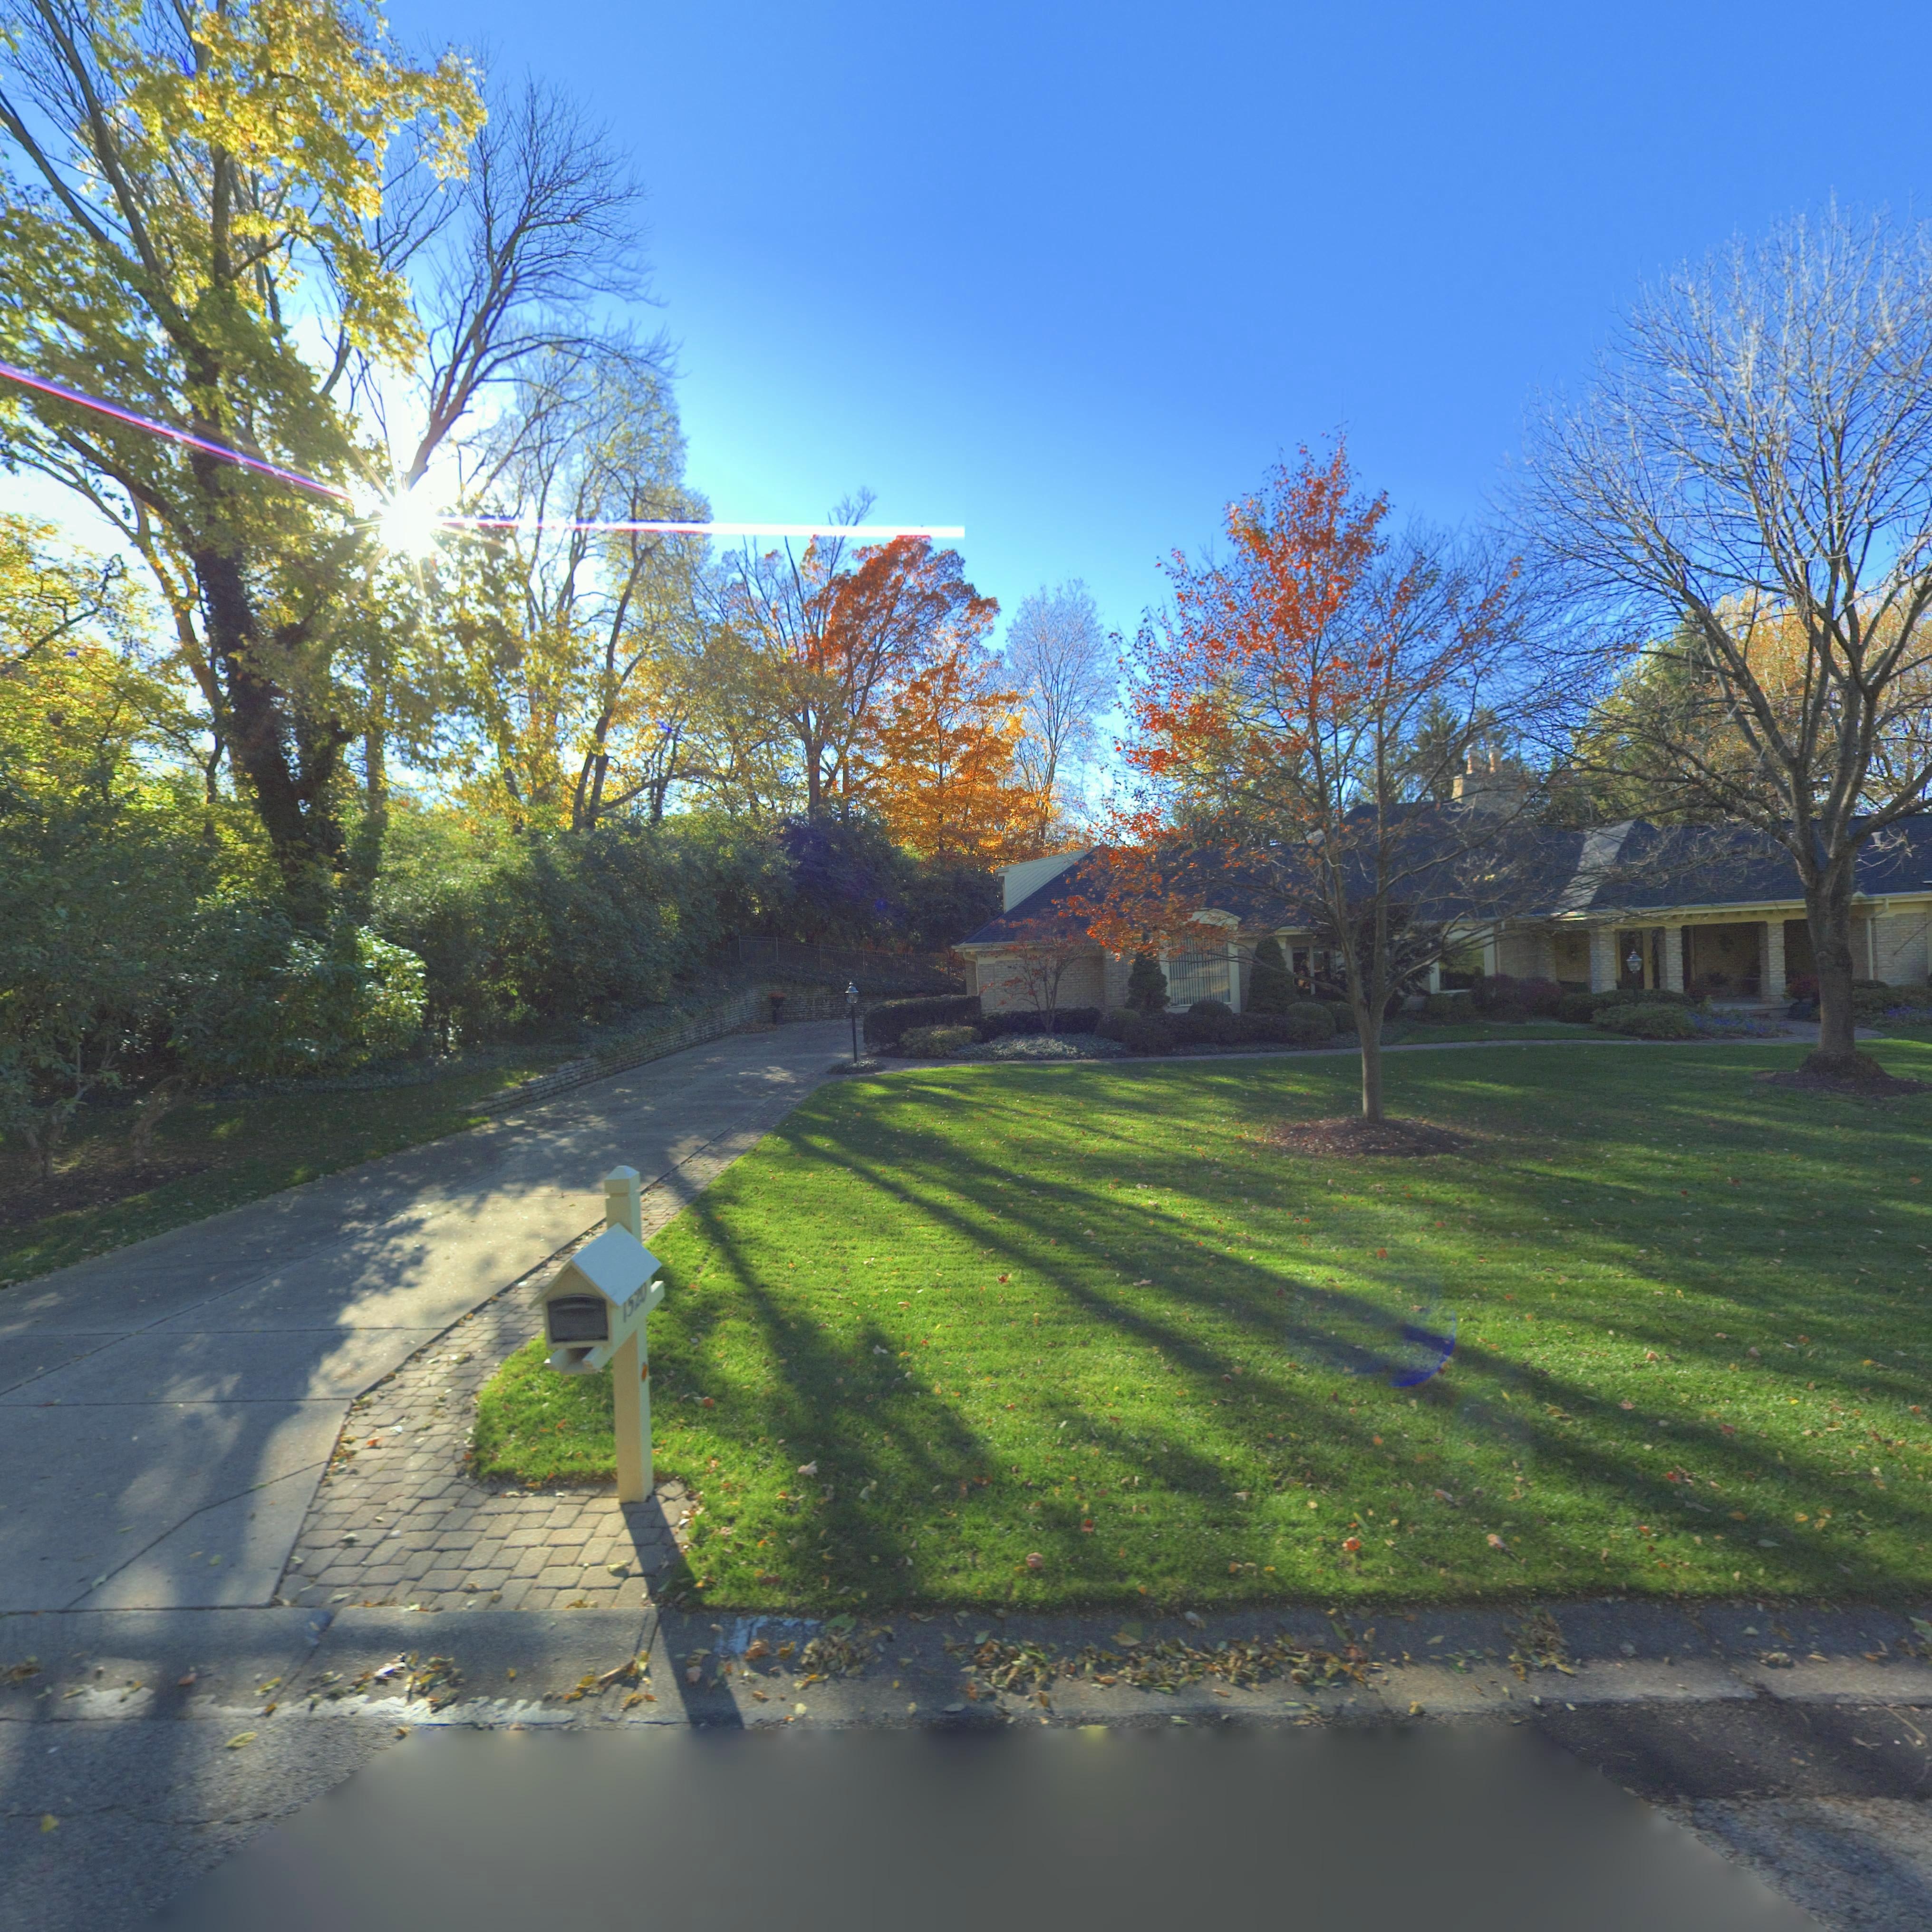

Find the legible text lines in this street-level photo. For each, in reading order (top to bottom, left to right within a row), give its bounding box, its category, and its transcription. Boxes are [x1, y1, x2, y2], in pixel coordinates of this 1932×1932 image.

[623, 1280, 648, 1326] StreetNumber: 1520
[744, 1617, 761, 1648] StreetNumber: 1